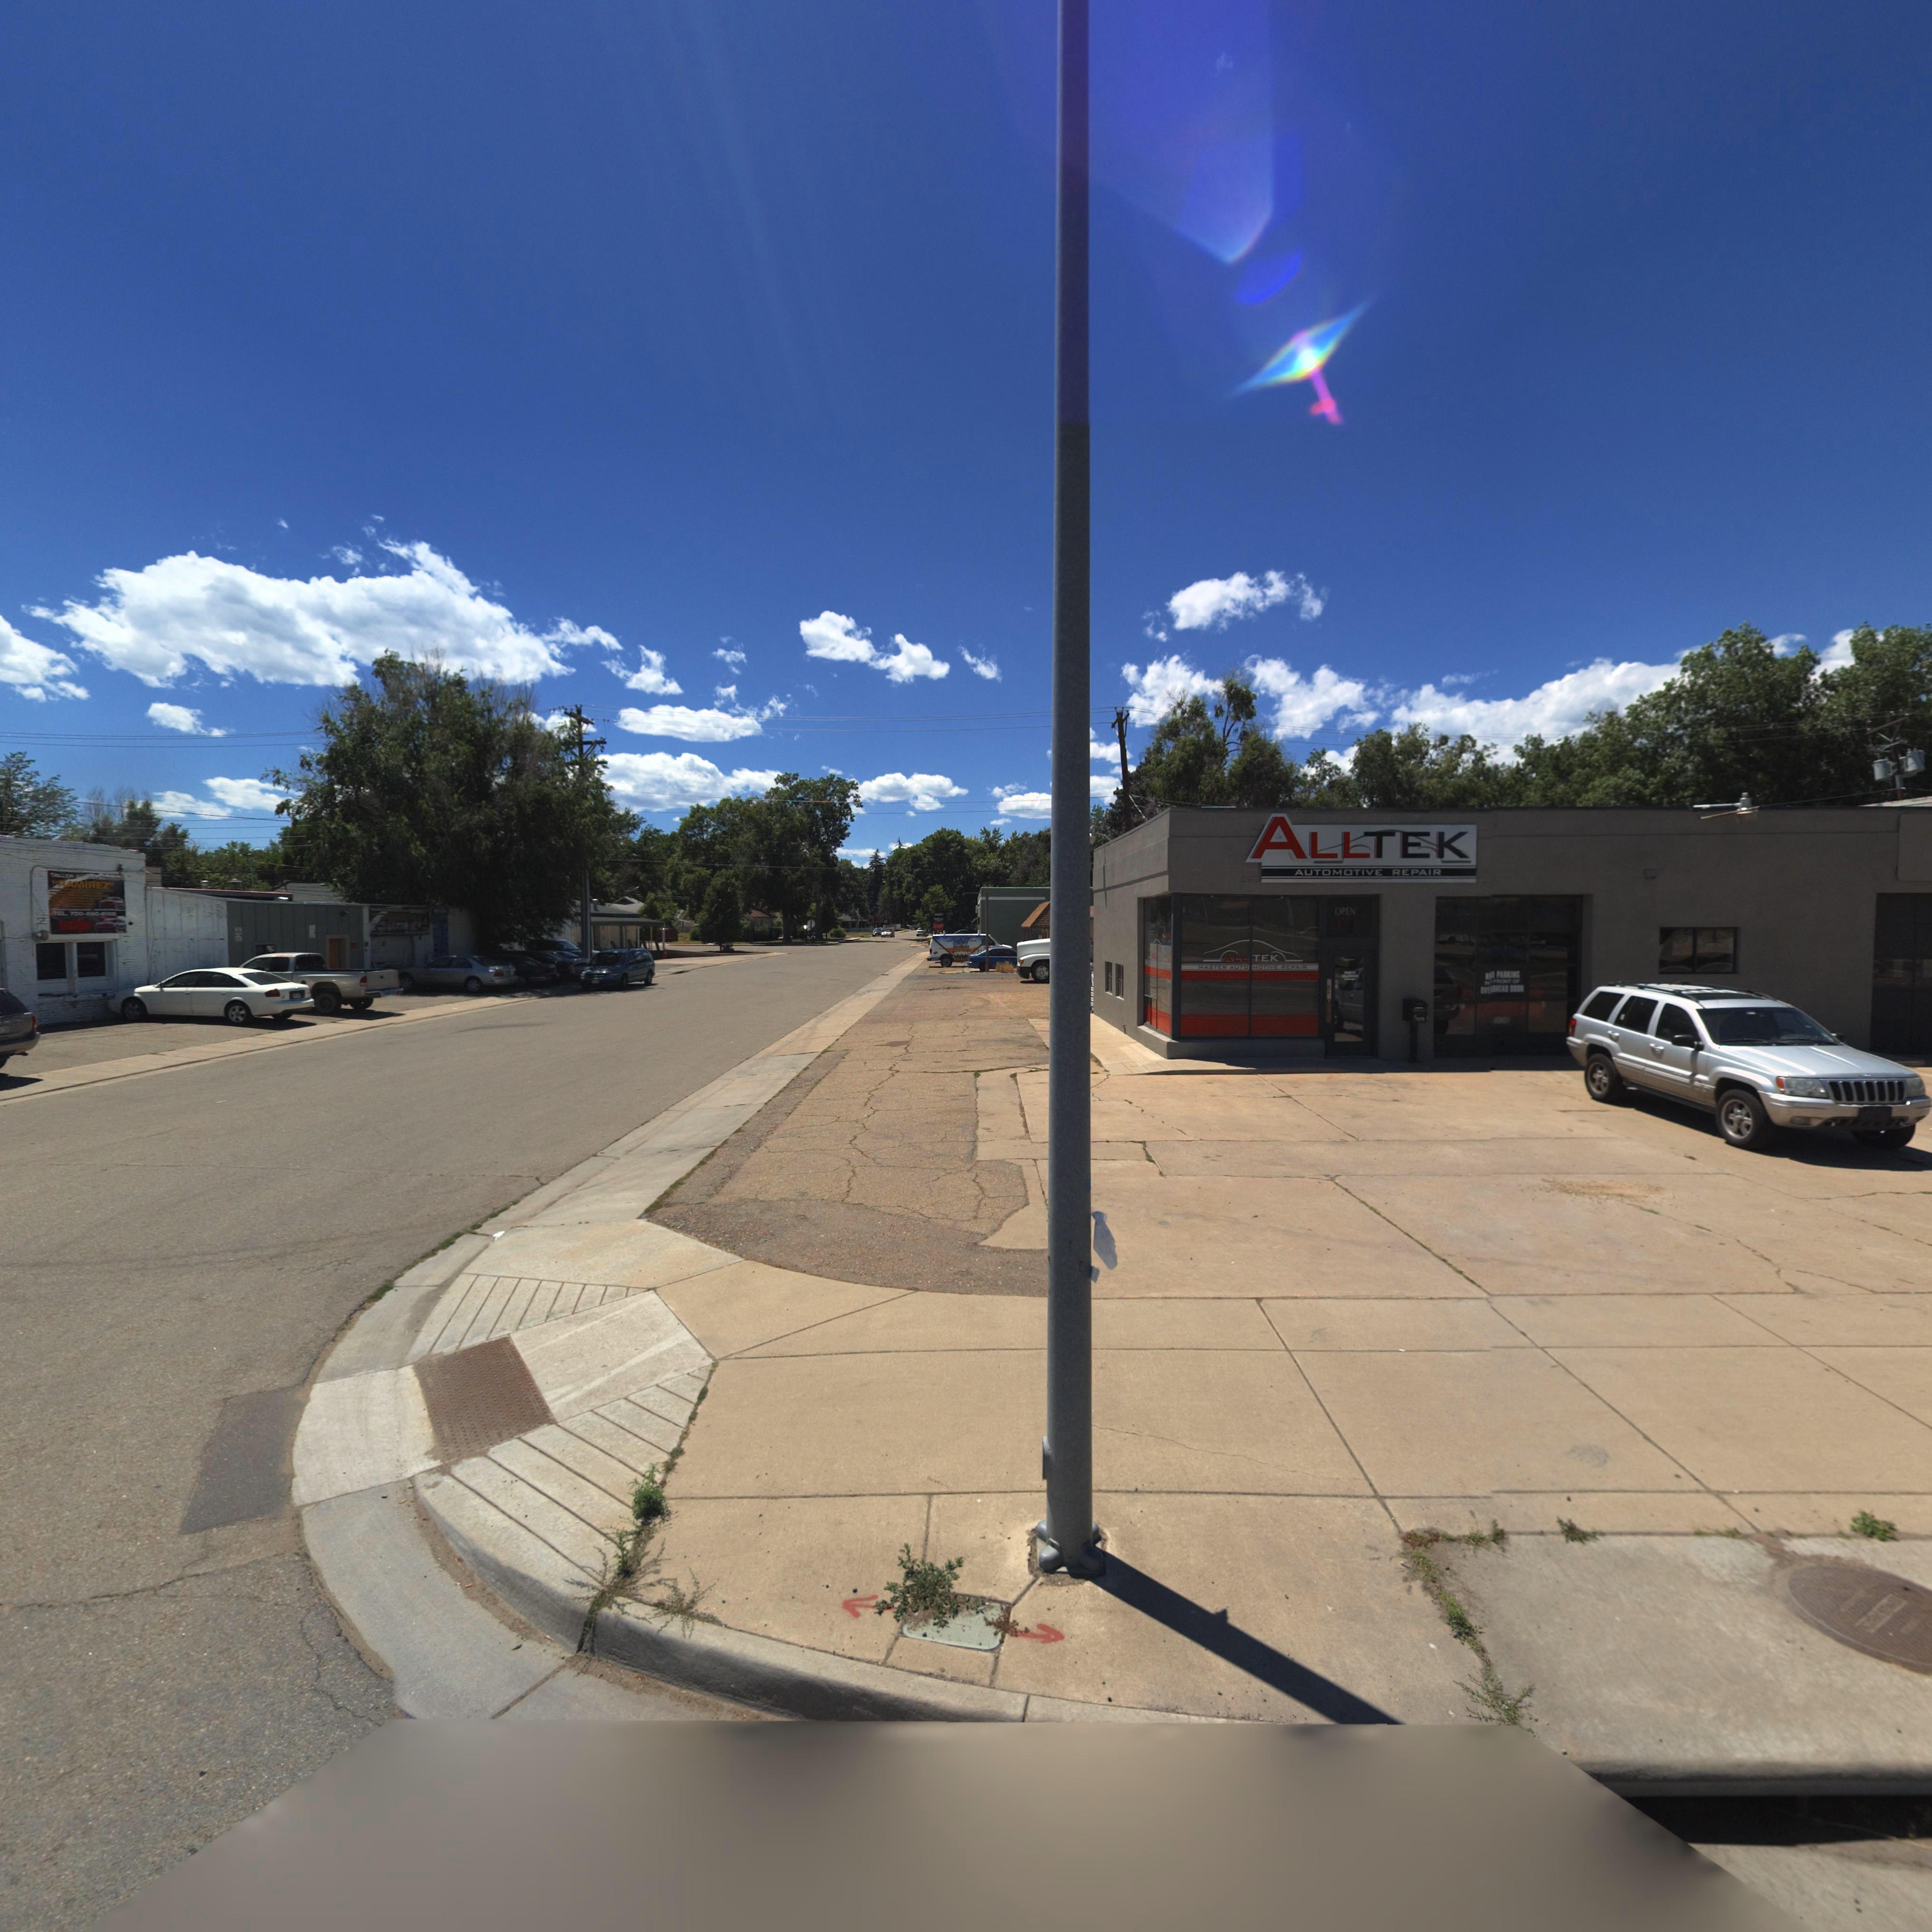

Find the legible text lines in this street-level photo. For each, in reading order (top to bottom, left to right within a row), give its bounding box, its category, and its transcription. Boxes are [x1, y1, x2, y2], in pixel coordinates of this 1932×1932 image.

[1244, 812, 1470, 862] BusinessName: ALLTEK
[1294, 869, 1441, 876] BusinessName: AUTOMOTIVE REPAIR
[1223, 954, 1278, 962] BusinessName: ALL TEK